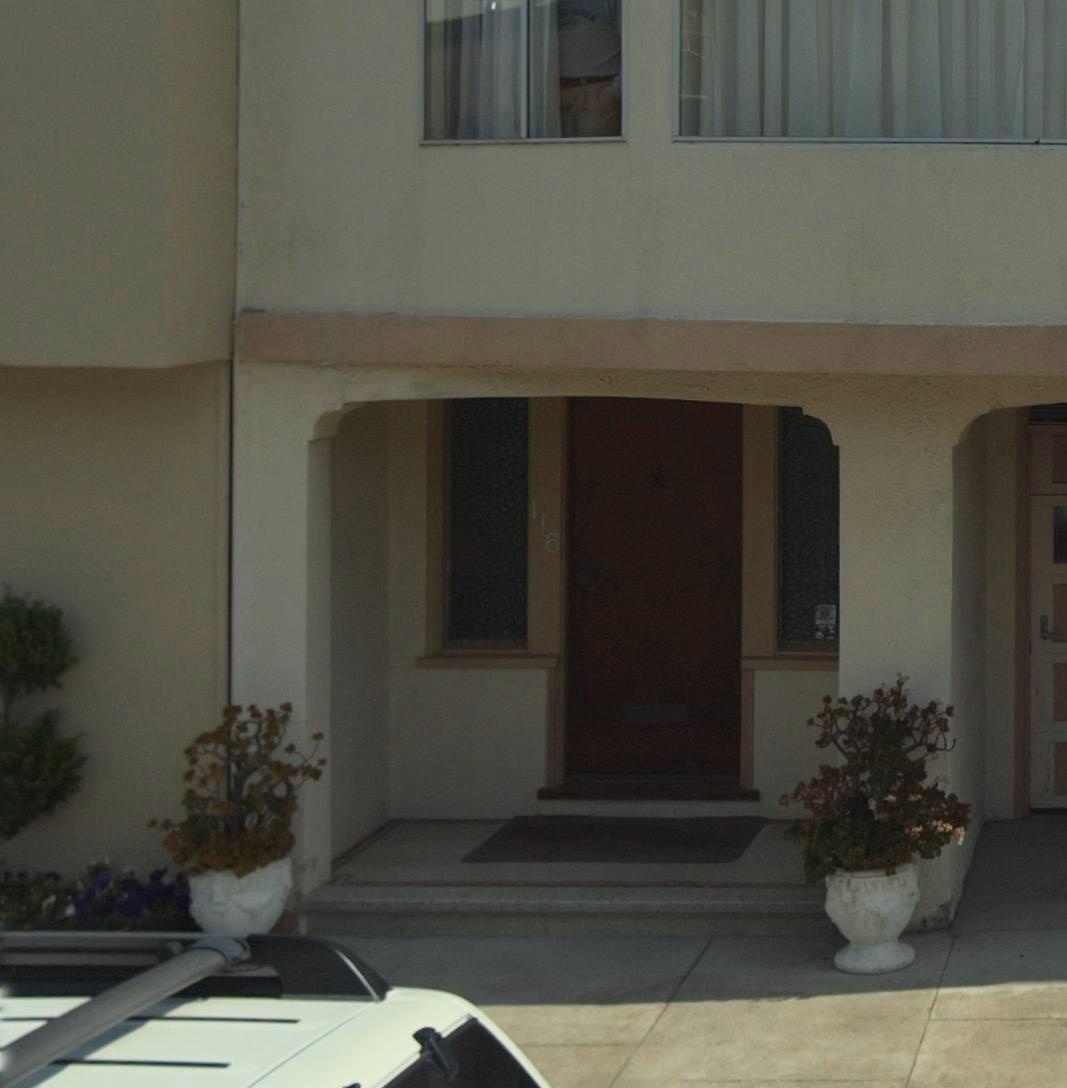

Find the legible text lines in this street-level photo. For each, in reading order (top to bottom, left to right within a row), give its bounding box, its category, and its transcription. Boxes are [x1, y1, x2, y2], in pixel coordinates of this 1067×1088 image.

[529, 496, 562, 556] StreetNumber: 116